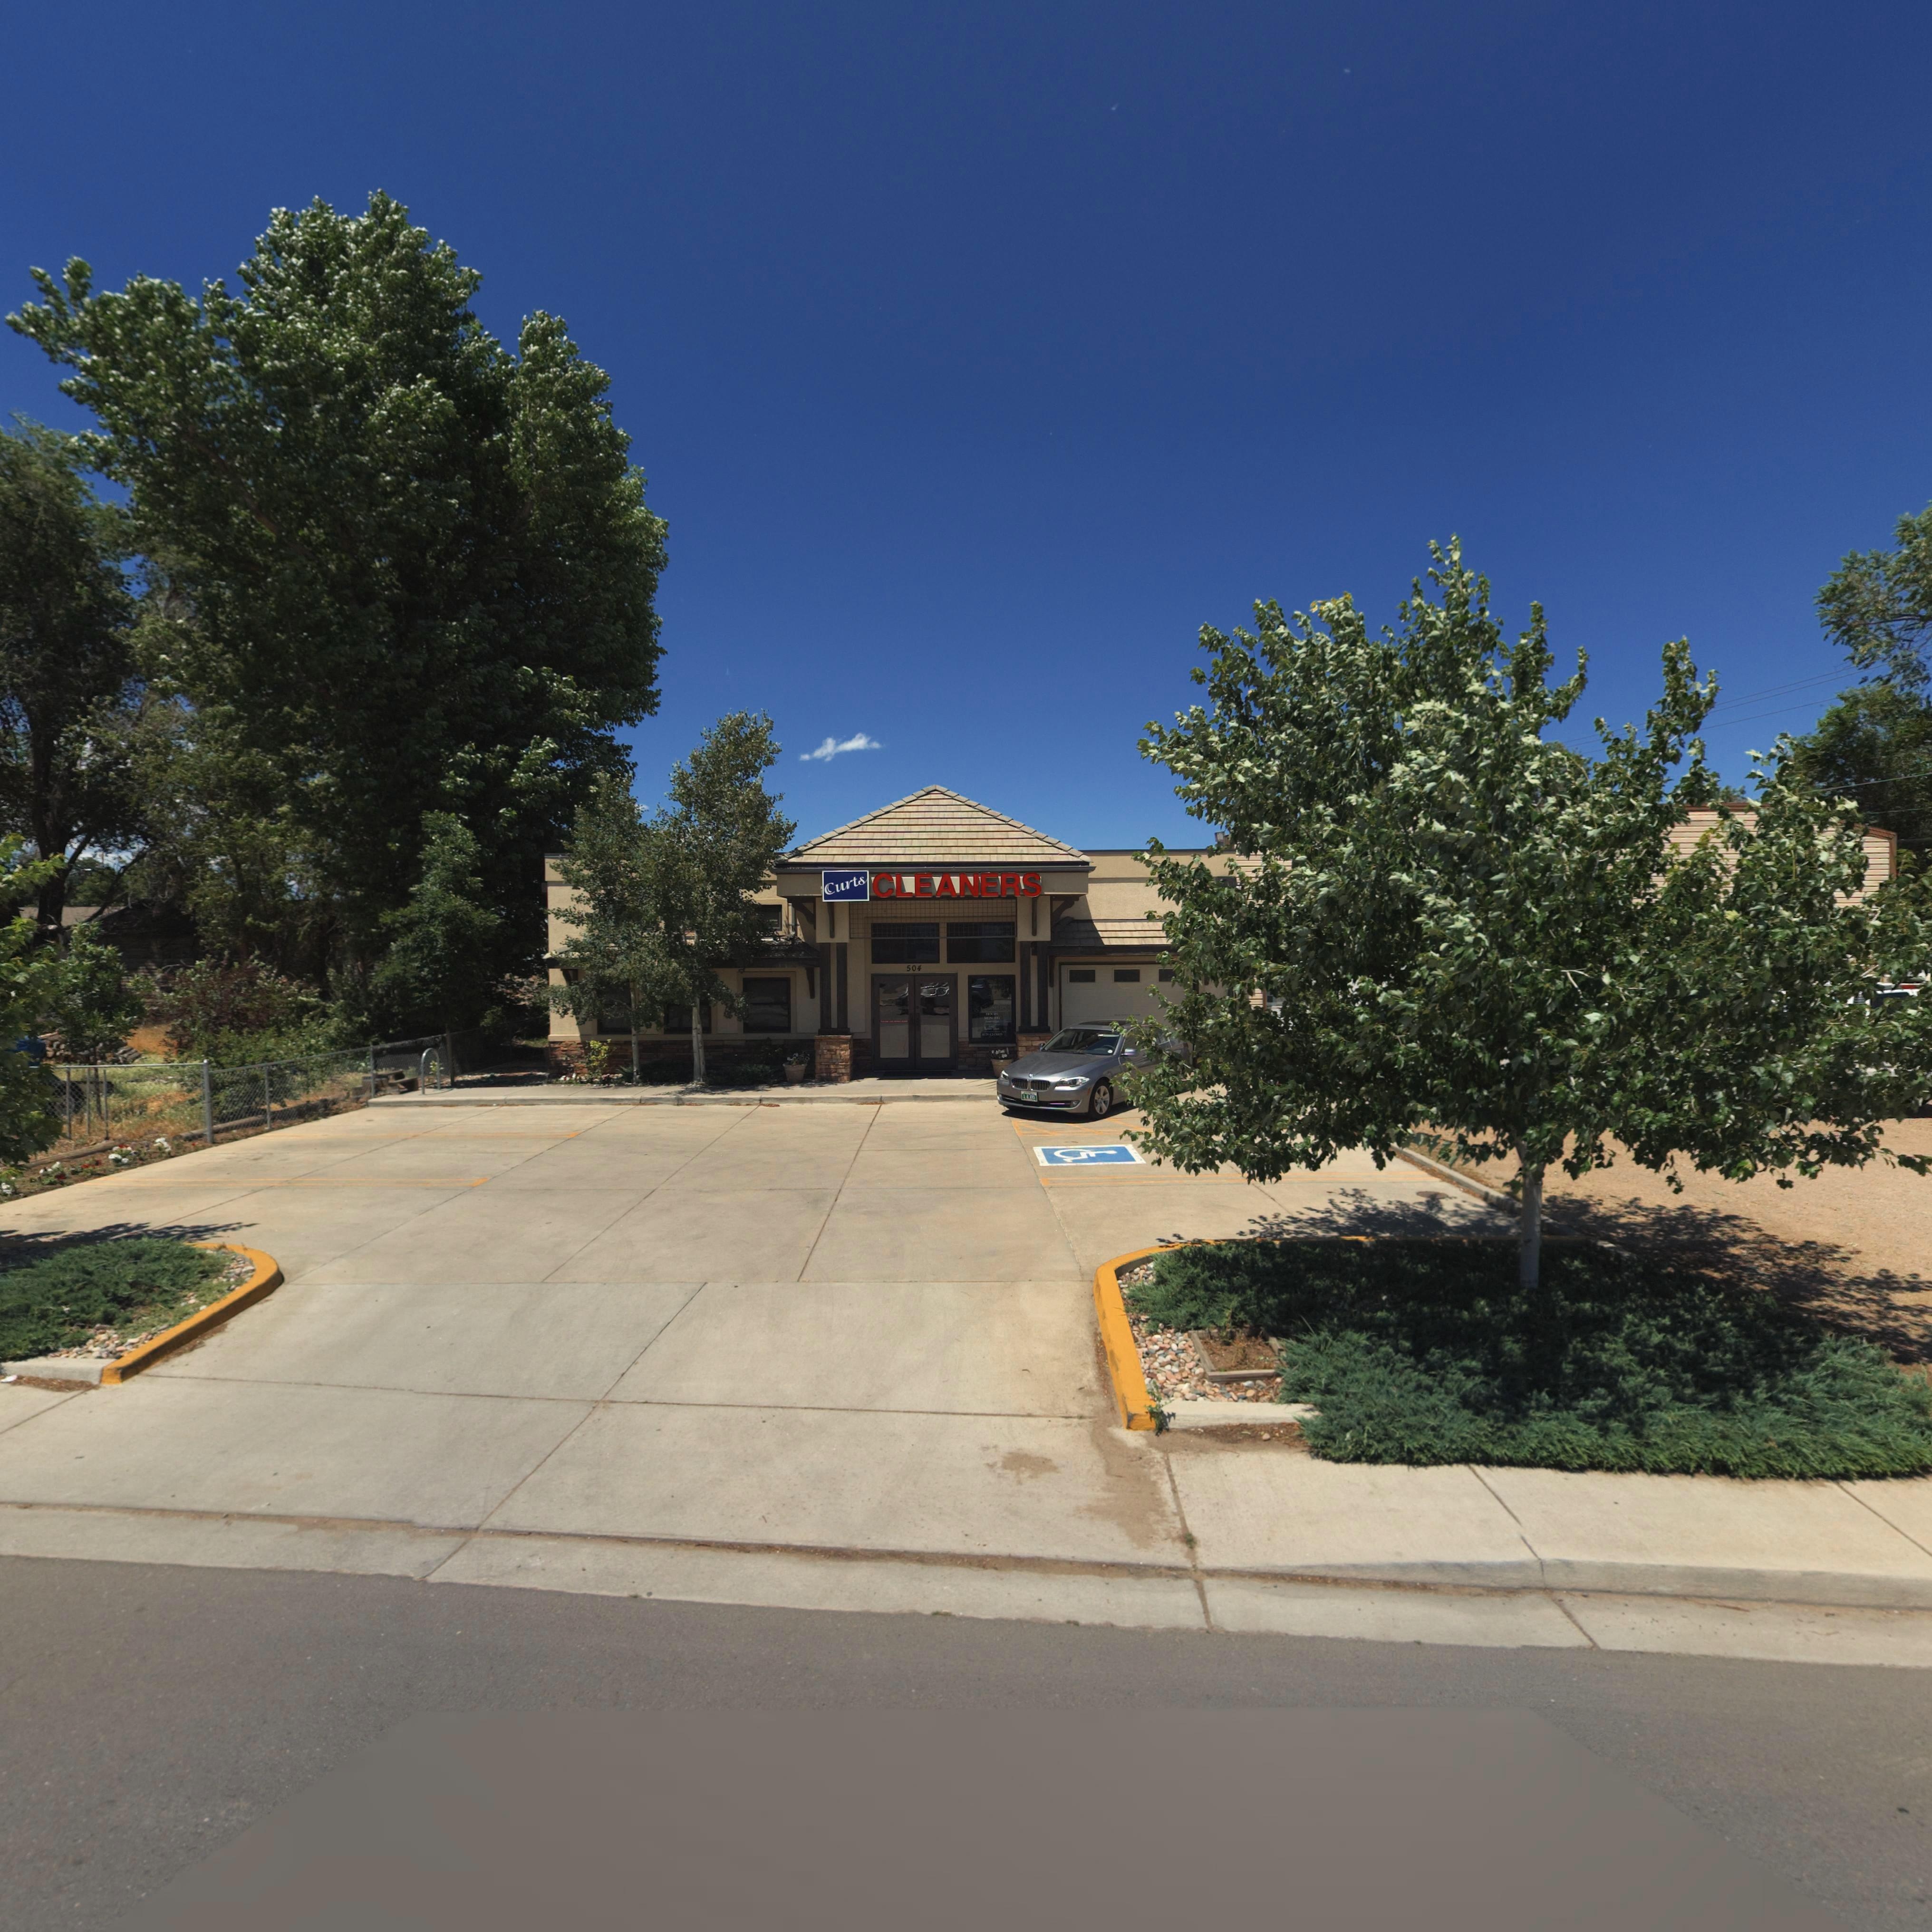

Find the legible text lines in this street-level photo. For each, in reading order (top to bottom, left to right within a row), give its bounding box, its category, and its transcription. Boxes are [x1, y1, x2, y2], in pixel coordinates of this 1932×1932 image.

[823, 876, 866, 895] BusinessName: Curts
[872, 871, 1042, 898] BusinessName: CLEANERS
[906, 964, 921, 971] StreetNumber: 504